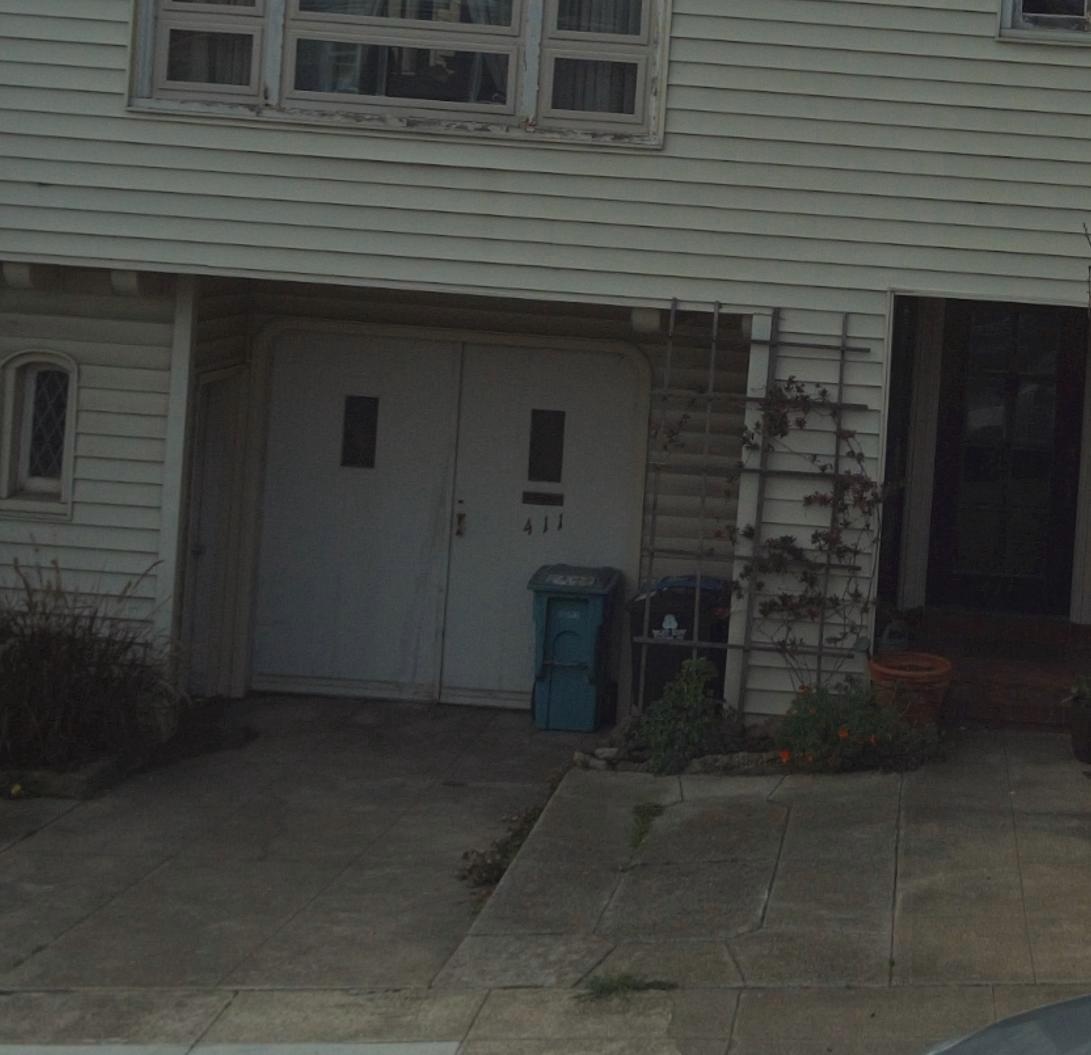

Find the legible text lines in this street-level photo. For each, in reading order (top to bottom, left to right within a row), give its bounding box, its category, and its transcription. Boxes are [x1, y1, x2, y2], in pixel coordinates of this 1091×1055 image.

[523, 512, 565, 537] StreetNumber: 411